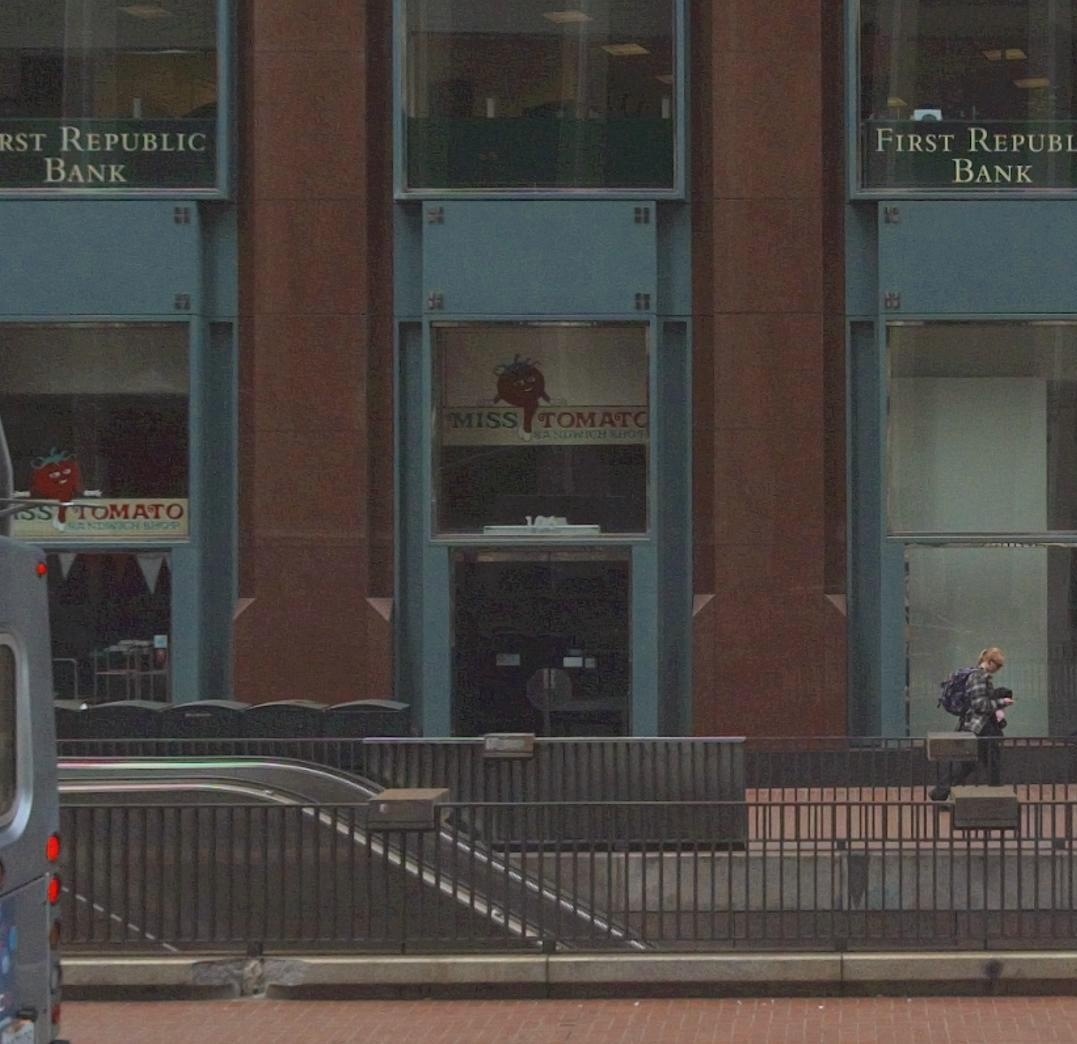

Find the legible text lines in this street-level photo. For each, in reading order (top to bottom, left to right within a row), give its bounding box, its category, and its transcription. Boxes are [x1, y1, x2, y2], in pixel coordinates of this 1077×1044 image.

[0, 124, 209, 154] BusinessName: RST REPUBLIC
[874, 125, 1065, 154] BusinessName: FIRST REPUB
[42, 154, 130, 185] BusinessName: BANK
[950, 156, 1035, 186] BusinessName: BANK
[450, 409, 633, 431] BusinessName: MISS * TOMAT
[531, 427, 639, 444] BusinessName: SANDWICH SHO
[107, 500, 186, 522] BusinessName: MATO
[522, 513, 559, 533] StreetNumber: 106